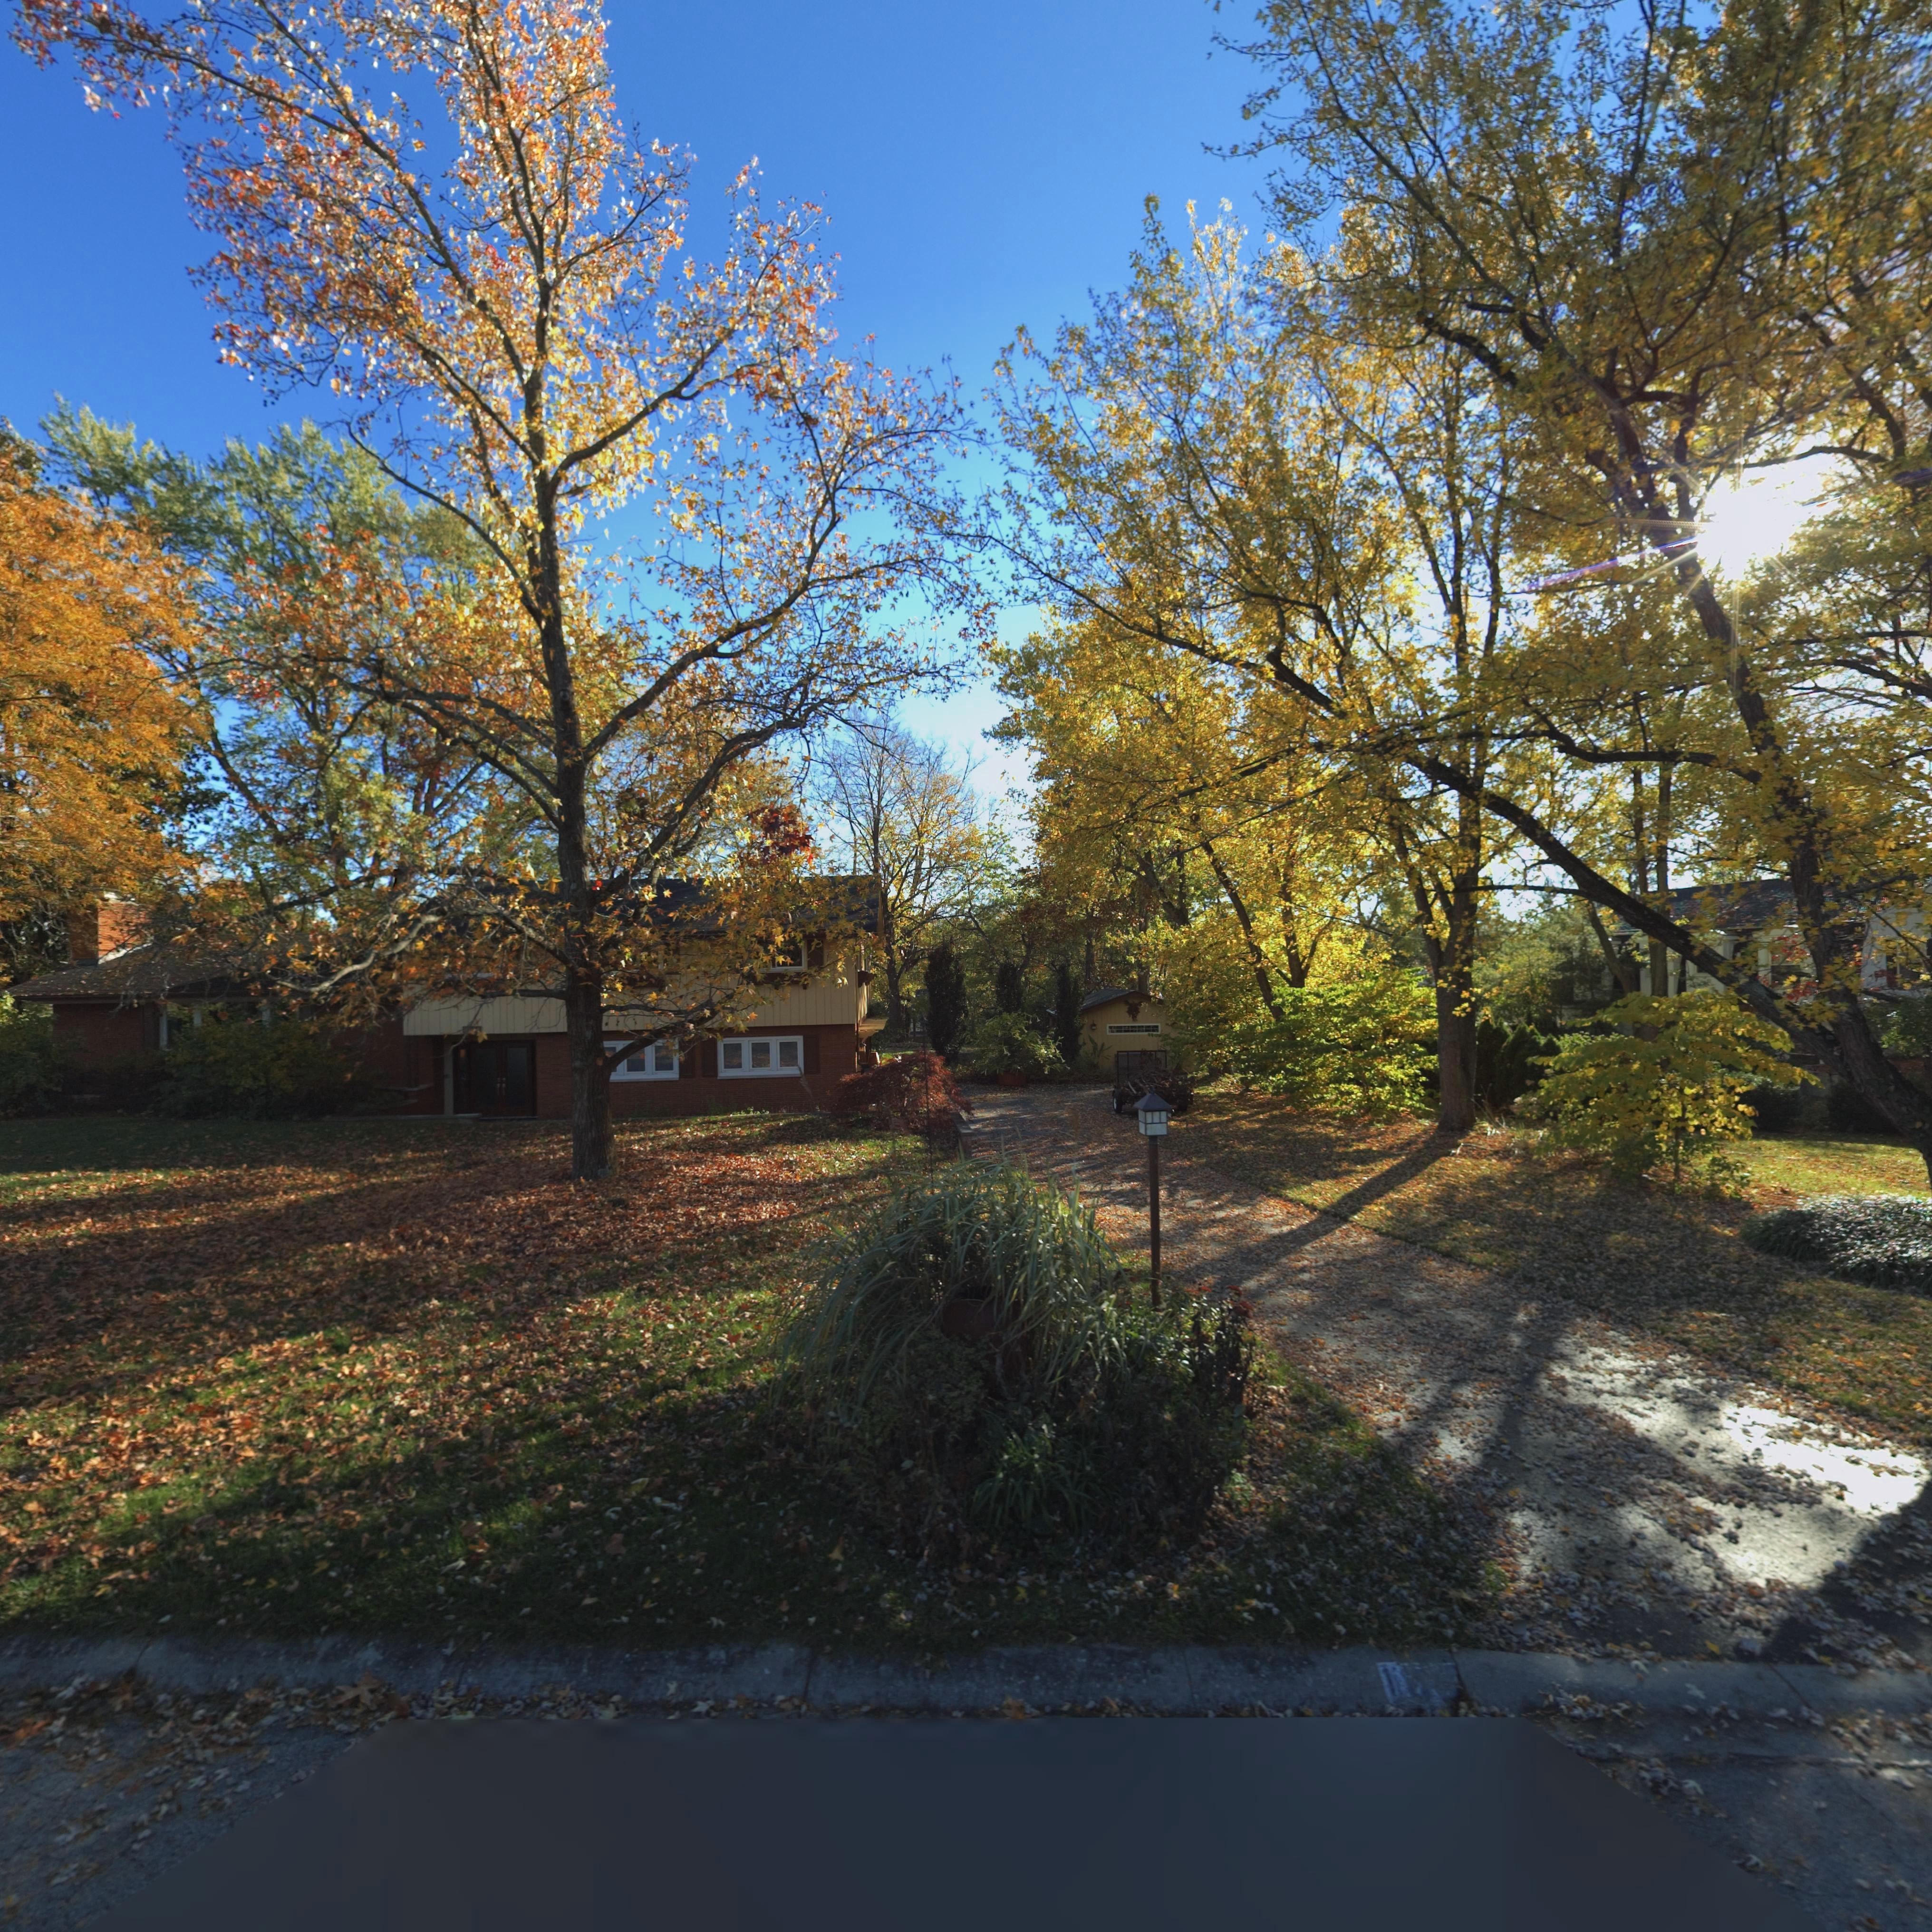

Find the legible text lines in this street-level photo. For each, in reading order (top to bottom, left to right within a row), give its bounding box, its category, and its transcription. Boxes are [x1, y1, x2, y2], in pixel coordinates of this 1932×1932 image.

[1380, 1666, 1398, 1698] StreetNumber: 1